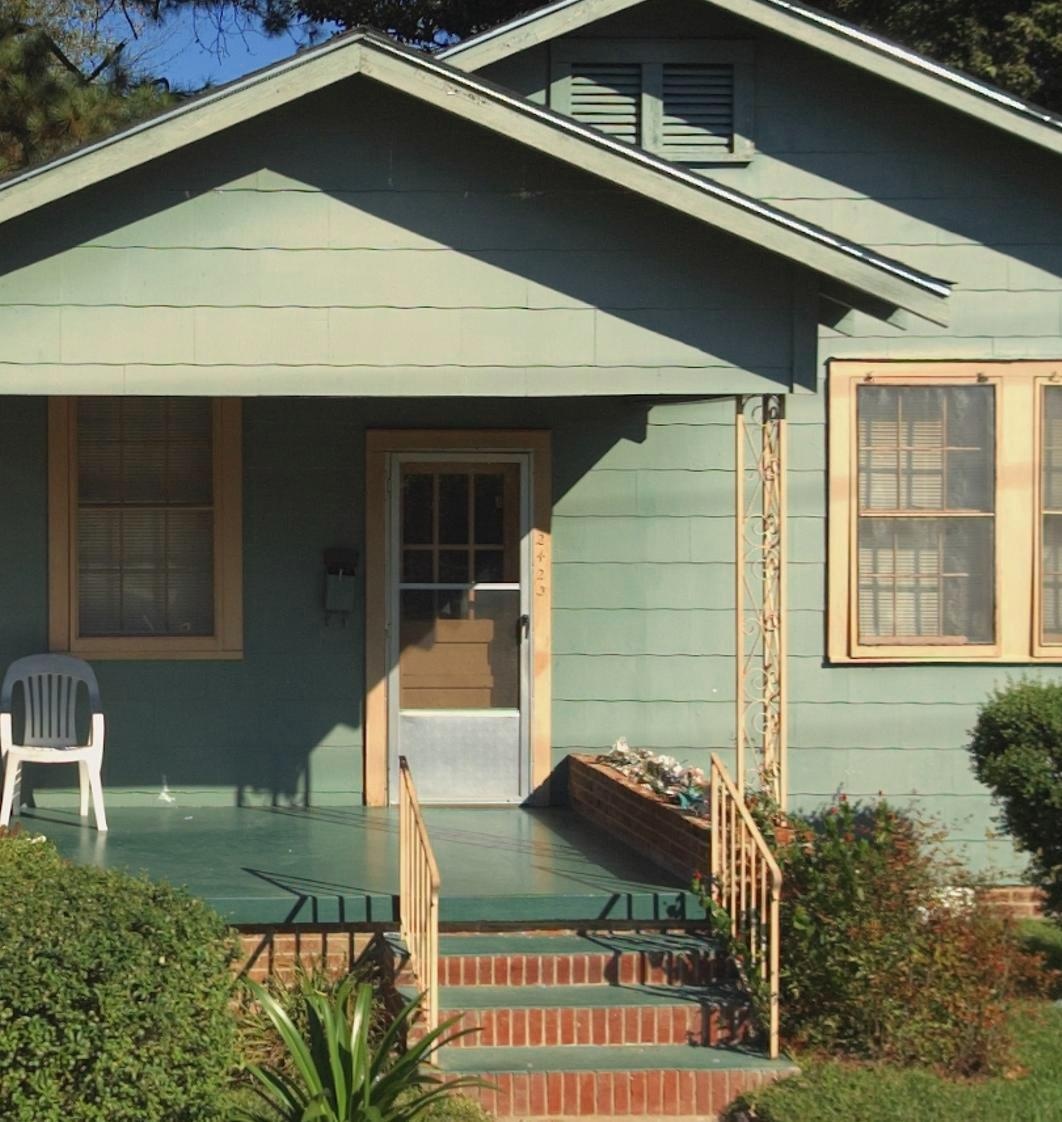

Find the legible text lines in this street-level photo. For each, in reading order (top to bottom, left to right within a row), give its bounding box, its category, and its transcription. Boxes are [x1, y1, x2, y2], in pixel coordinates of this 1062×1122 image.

[533, 531, 549, 599] StreetNumber: 242*